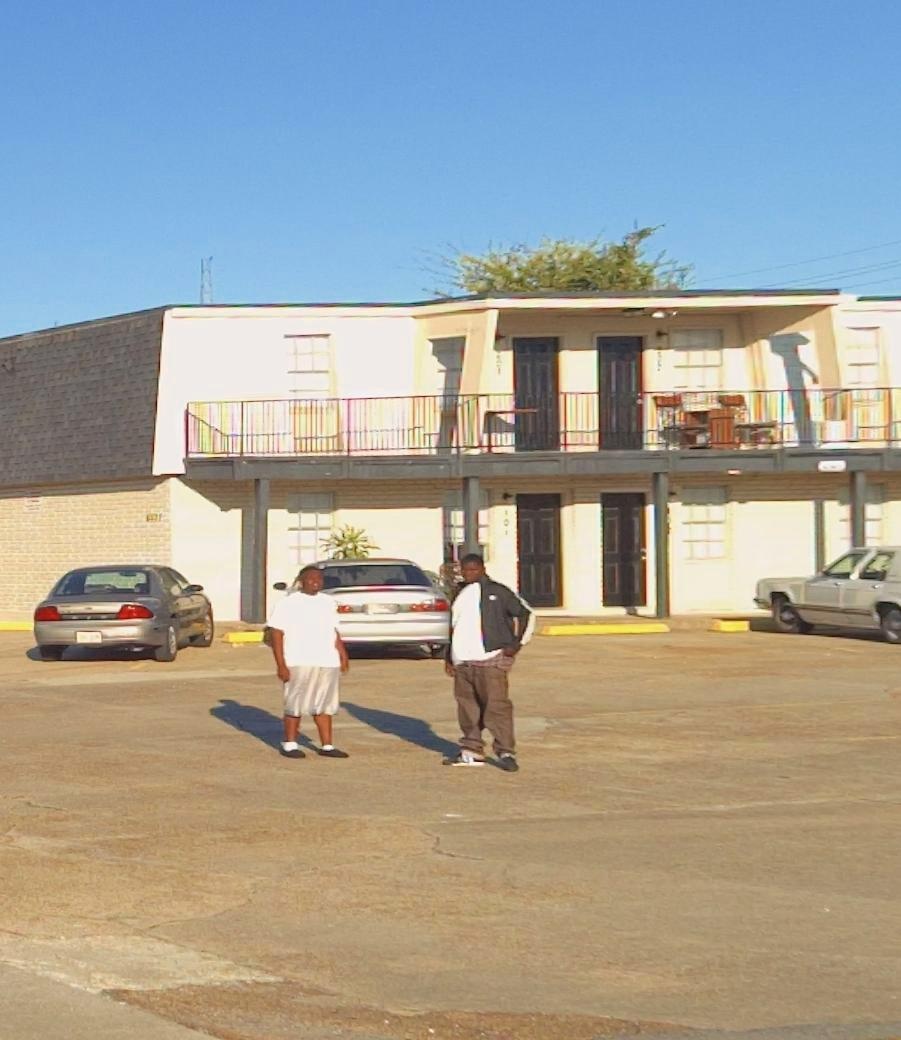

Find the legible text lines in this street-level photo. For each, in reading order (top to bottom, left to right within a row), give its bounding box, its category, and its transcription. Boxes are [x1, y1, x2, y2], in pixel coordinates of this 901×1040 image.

[501, 508, 512, 537] StreetNumber: 101